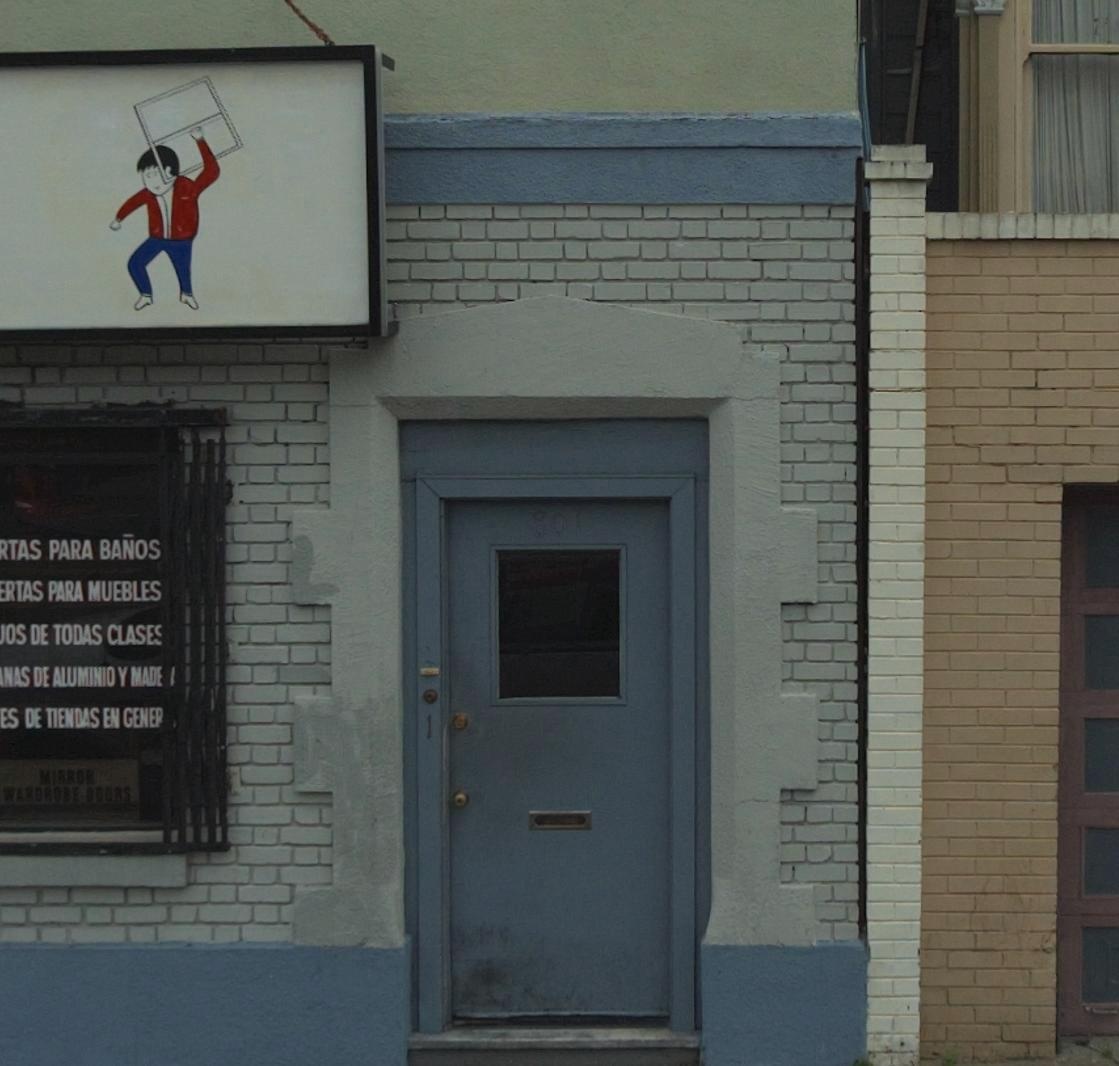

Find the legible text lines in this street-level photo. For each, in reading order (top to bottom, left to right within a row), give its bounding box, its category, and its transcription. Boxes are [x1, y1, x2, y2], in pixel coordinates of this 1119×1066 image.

[531, 508, 583, 539] StreetNumber: 801
[6, 537, 161, 560] None: TAS PARA BANOS
[5, 578, 162, 602] None: RTAS PARA MUEBLES
[5, 621, 155, 646] None: OS DE TODAS CLASE
[2, 664, 162, 688] None: MAS DE ALUMINIO Y MADE
[6, 705, 155, 729] None: S DE TIENDAS EN GENE